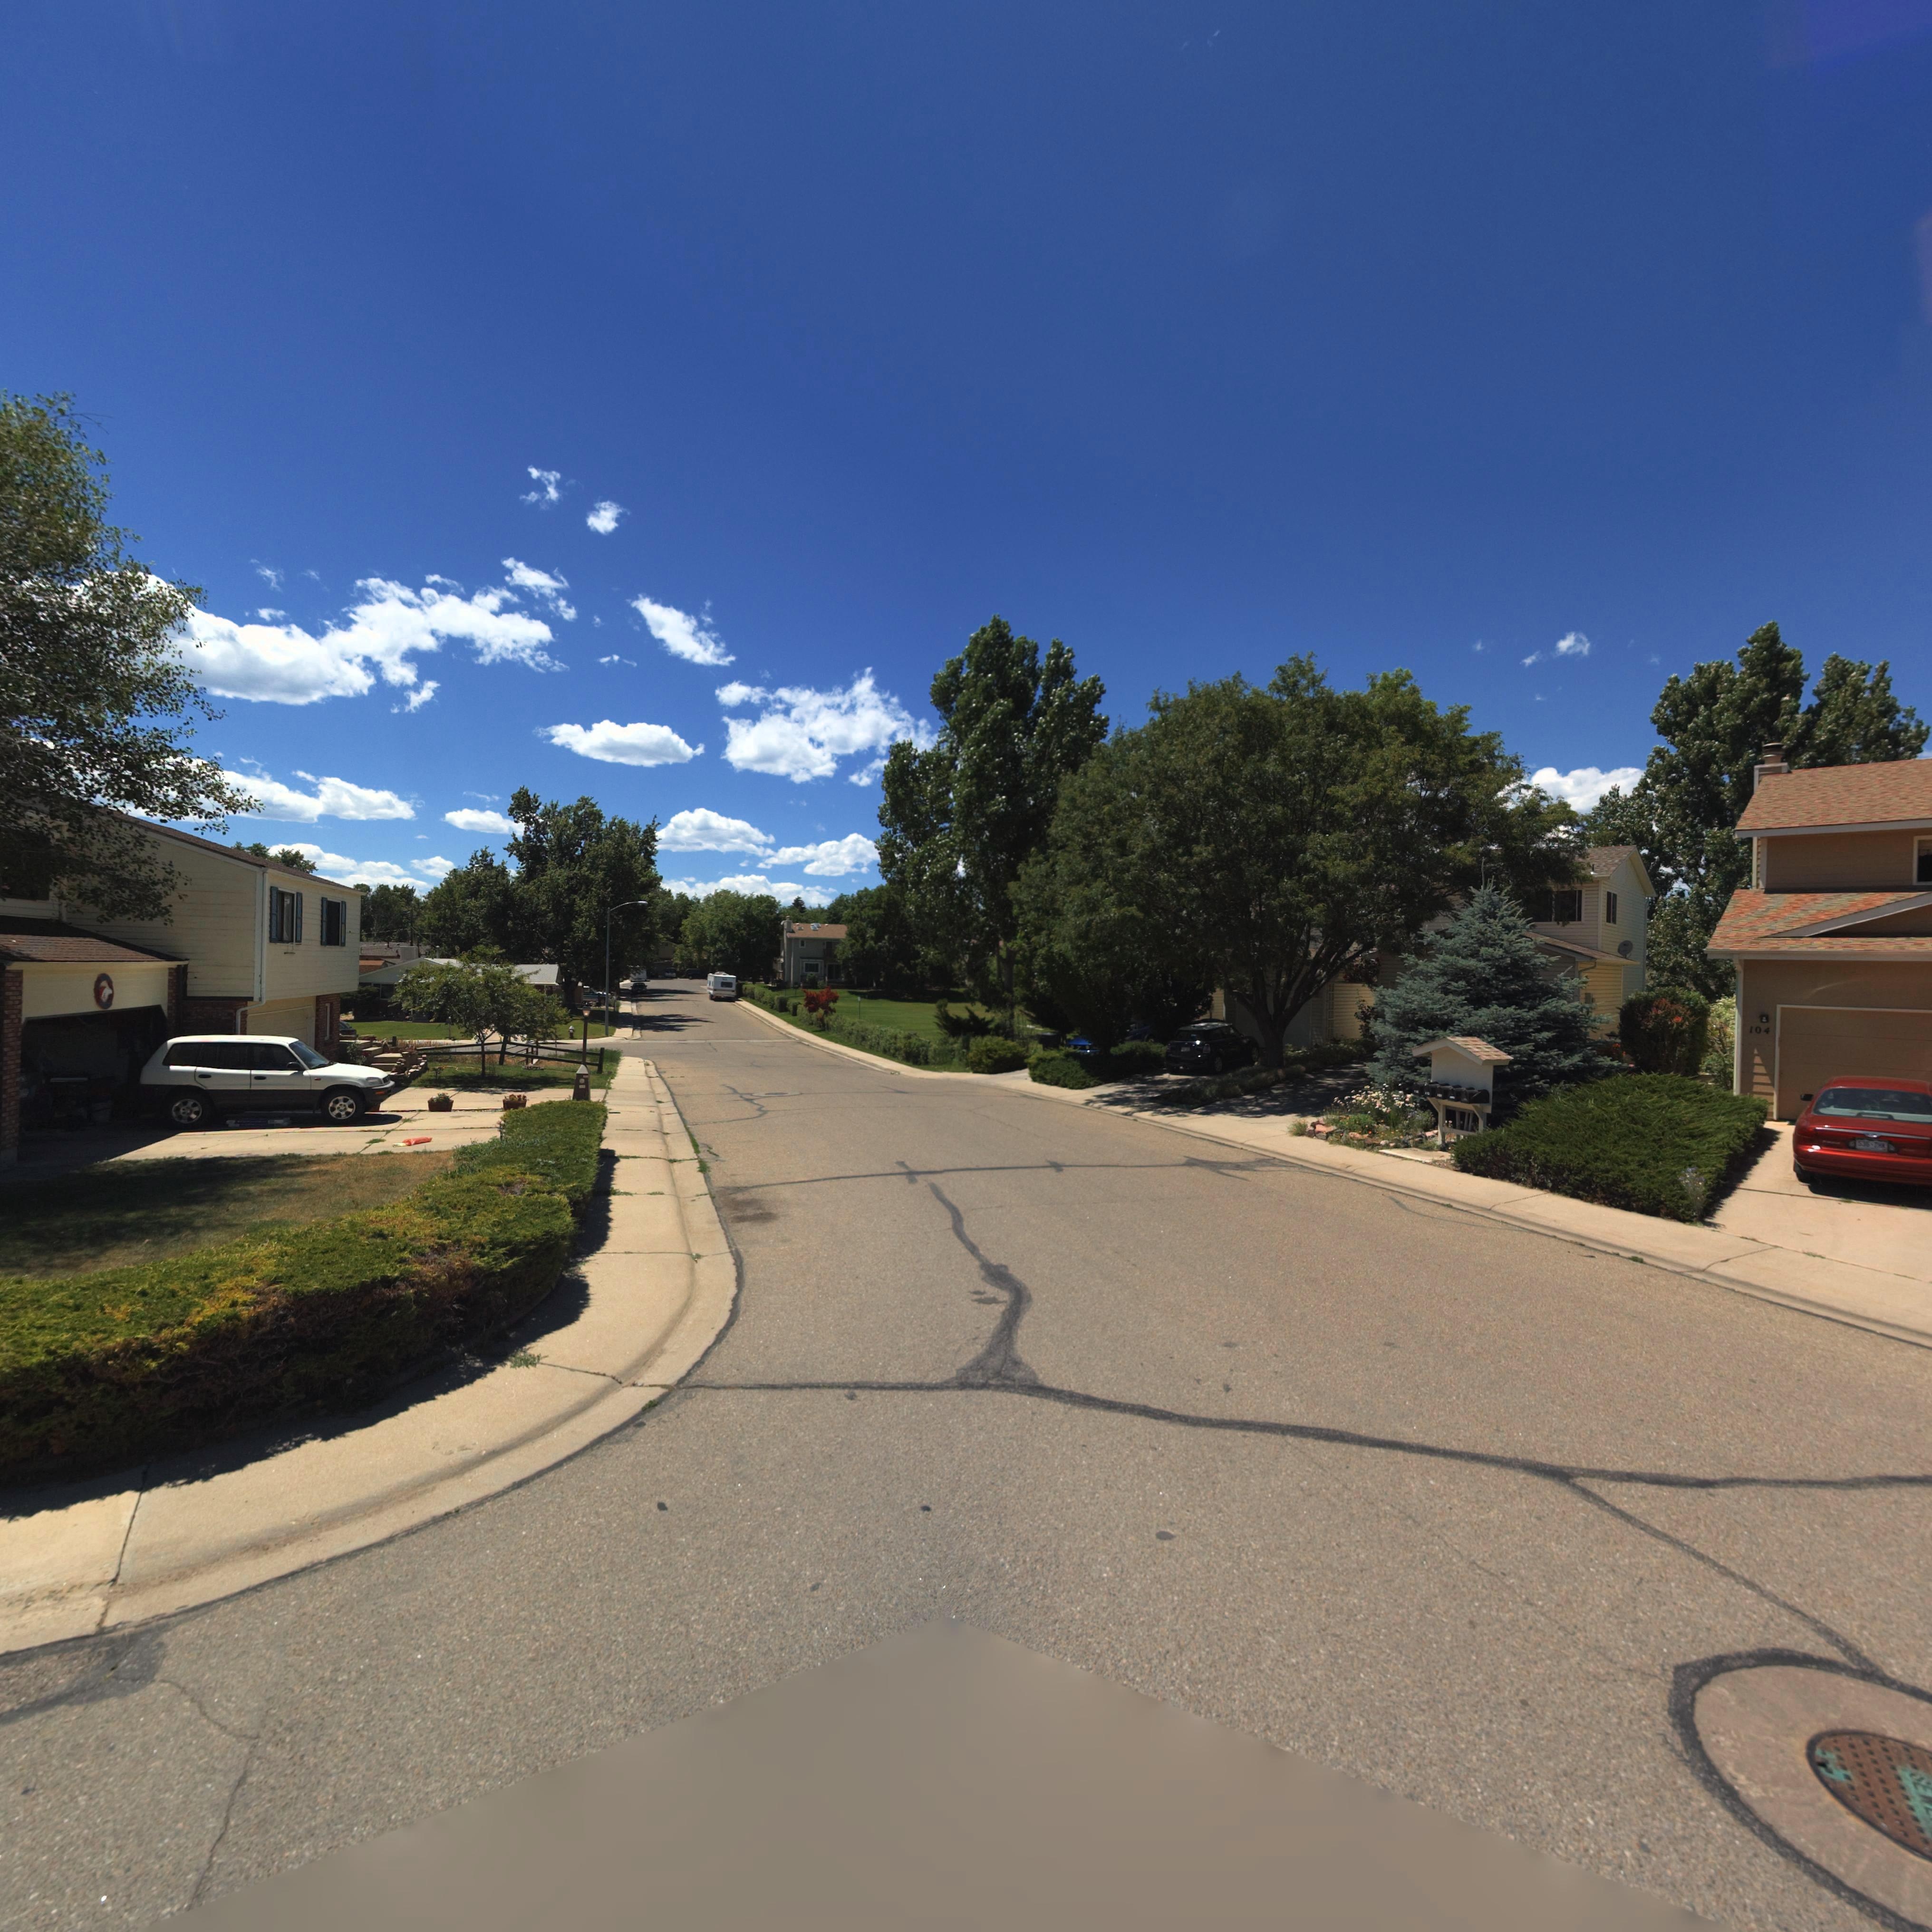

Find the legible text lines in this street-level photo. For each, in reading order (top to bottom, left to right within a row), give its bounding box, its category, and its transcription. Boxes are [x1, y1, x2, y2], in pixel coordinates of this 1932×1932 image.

[1748, 1026, 1770, 1034] StreetNumber: 104
[1413, 1090, 1419, 1093] StreetNumber: 1**
[1425, 1092, 1430, 1095] StreetNumber: 1**